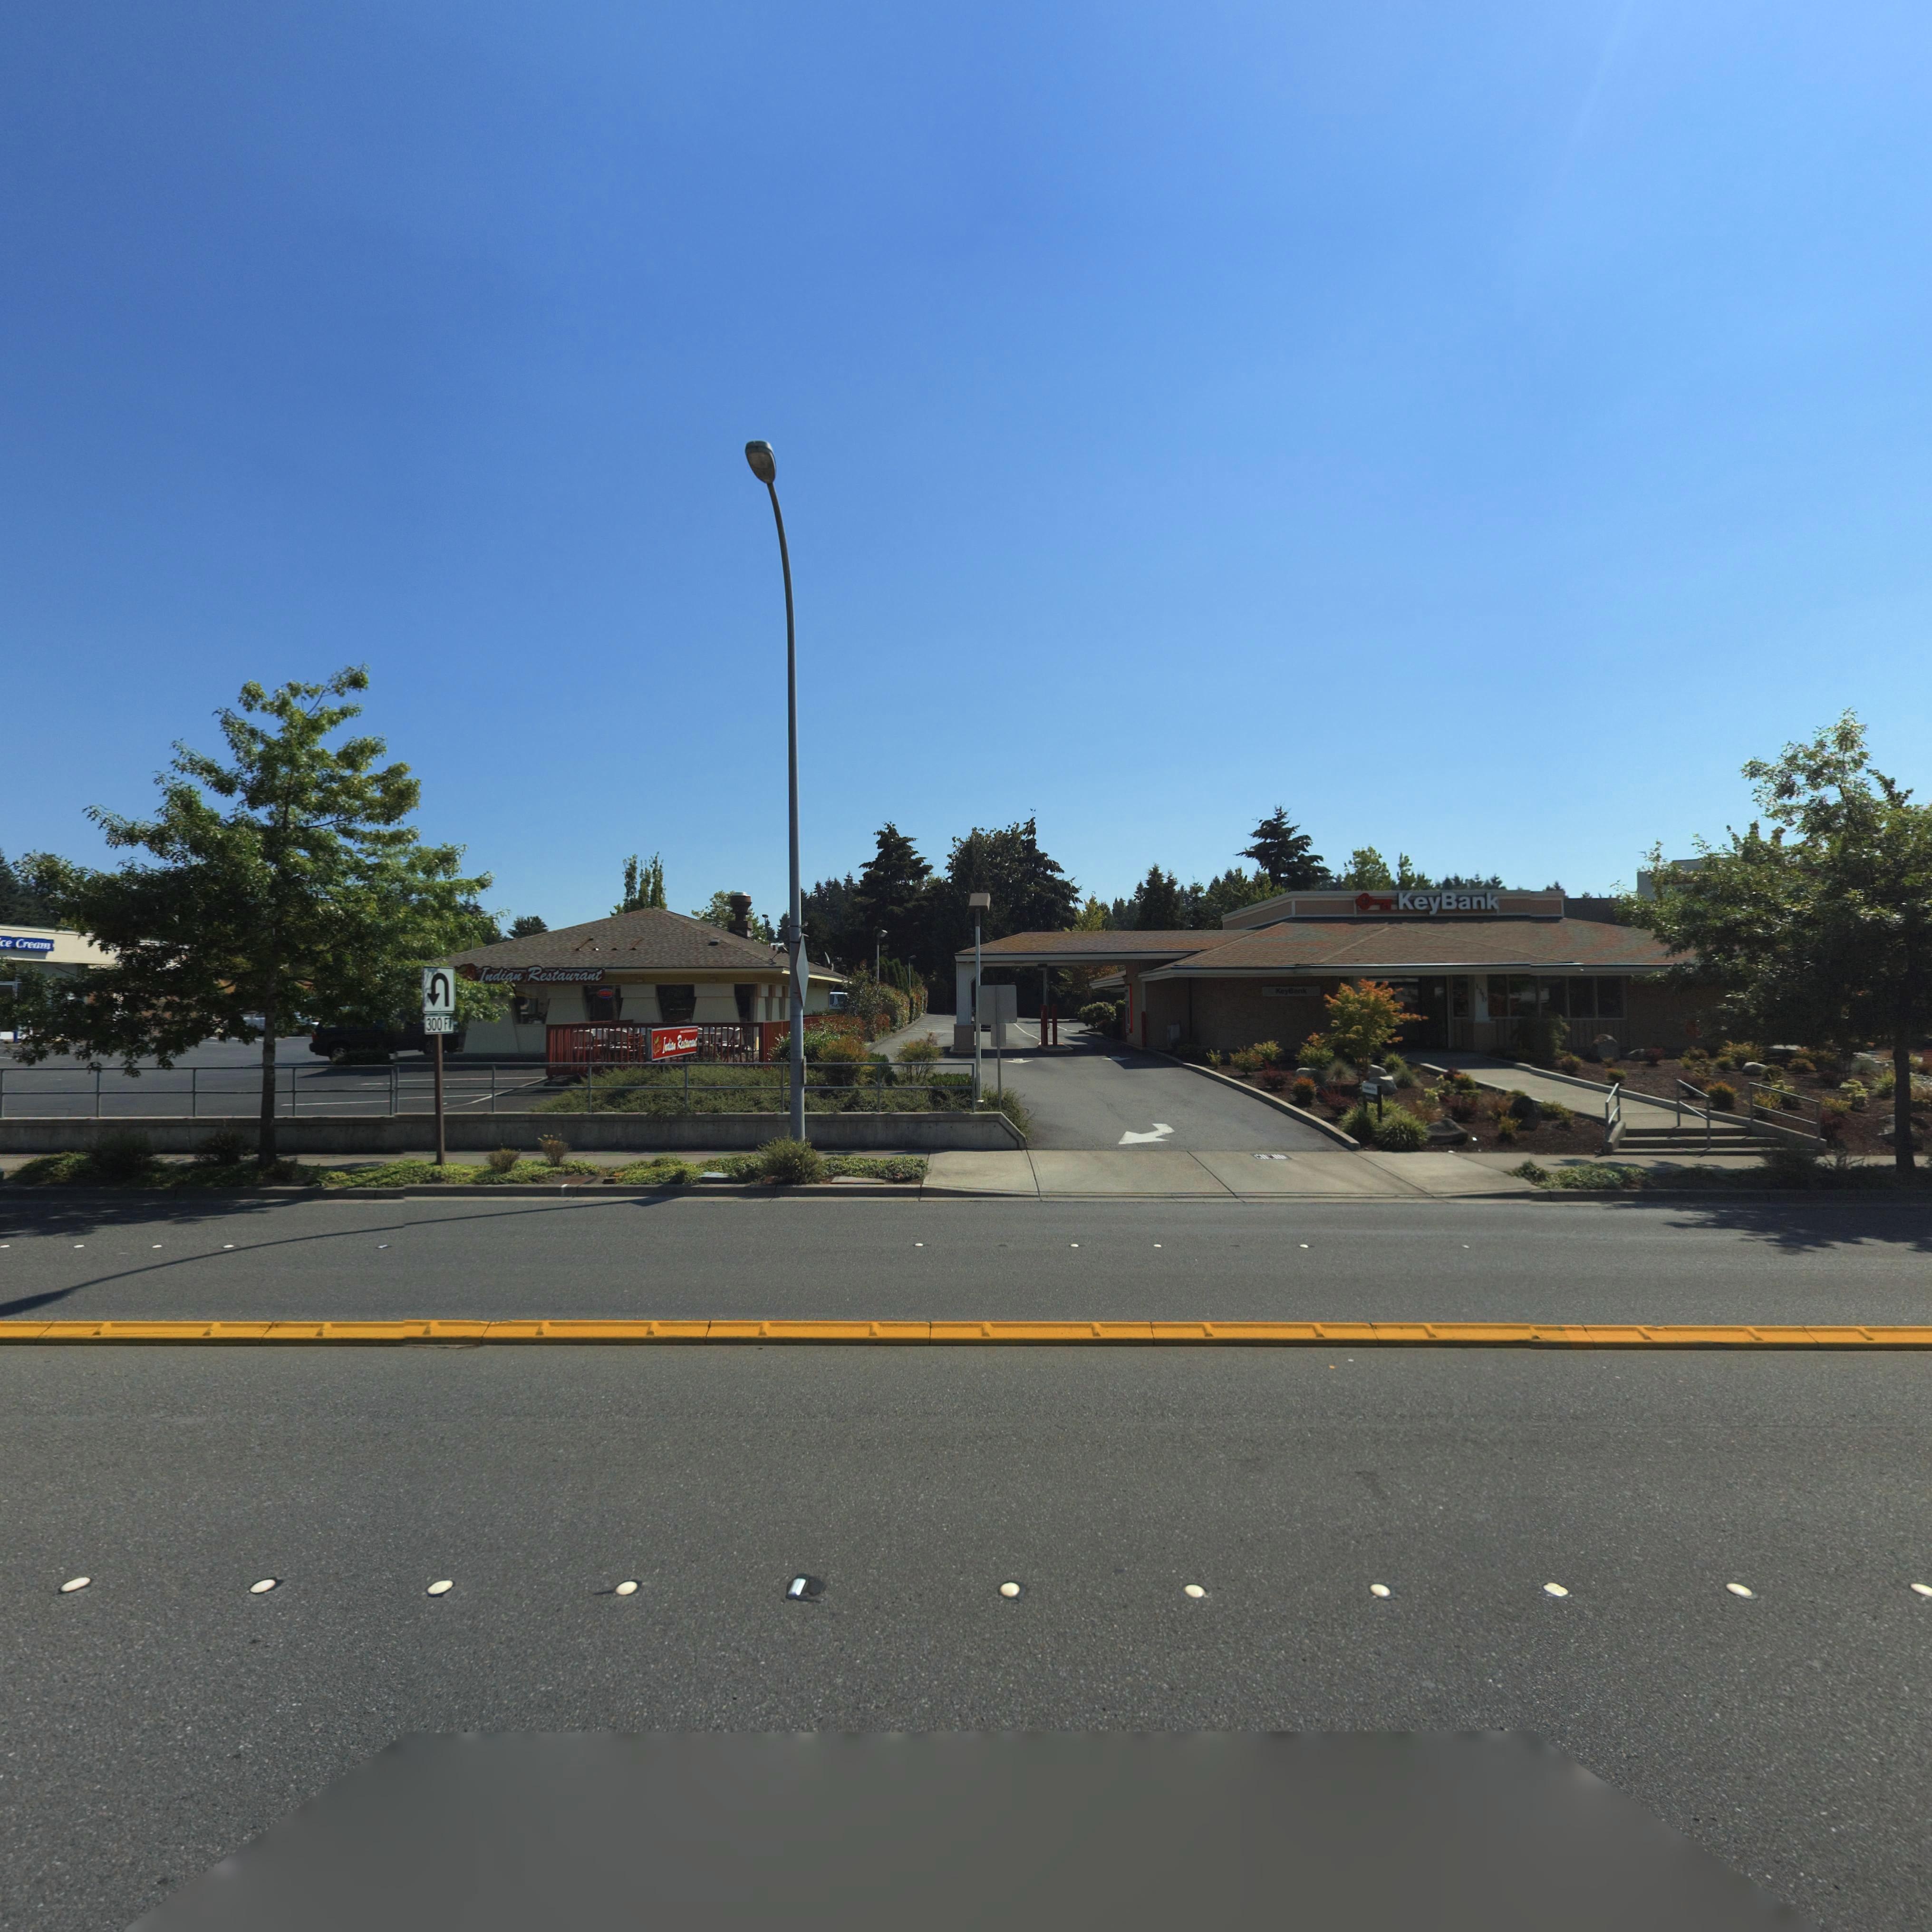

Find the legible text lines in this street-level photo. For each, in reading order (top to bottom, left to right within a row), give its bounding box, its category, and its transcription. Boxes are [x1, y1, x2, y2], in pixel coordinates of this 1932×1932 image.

[1399, 890, 1498, 914] BusinessName: KeyBank
[0, 938, 51, 950] BusinessName: *e Cream
[476, 965, 604, 982] BusinessName: Indian Restaurant
[1275, 986, 1307, 995] BusinessName: KeyBank
[1475, 982, 1488, 1004] StreetNumber: 1350
[424, 1015, 453, 1033] TrafficSign: 300 FT